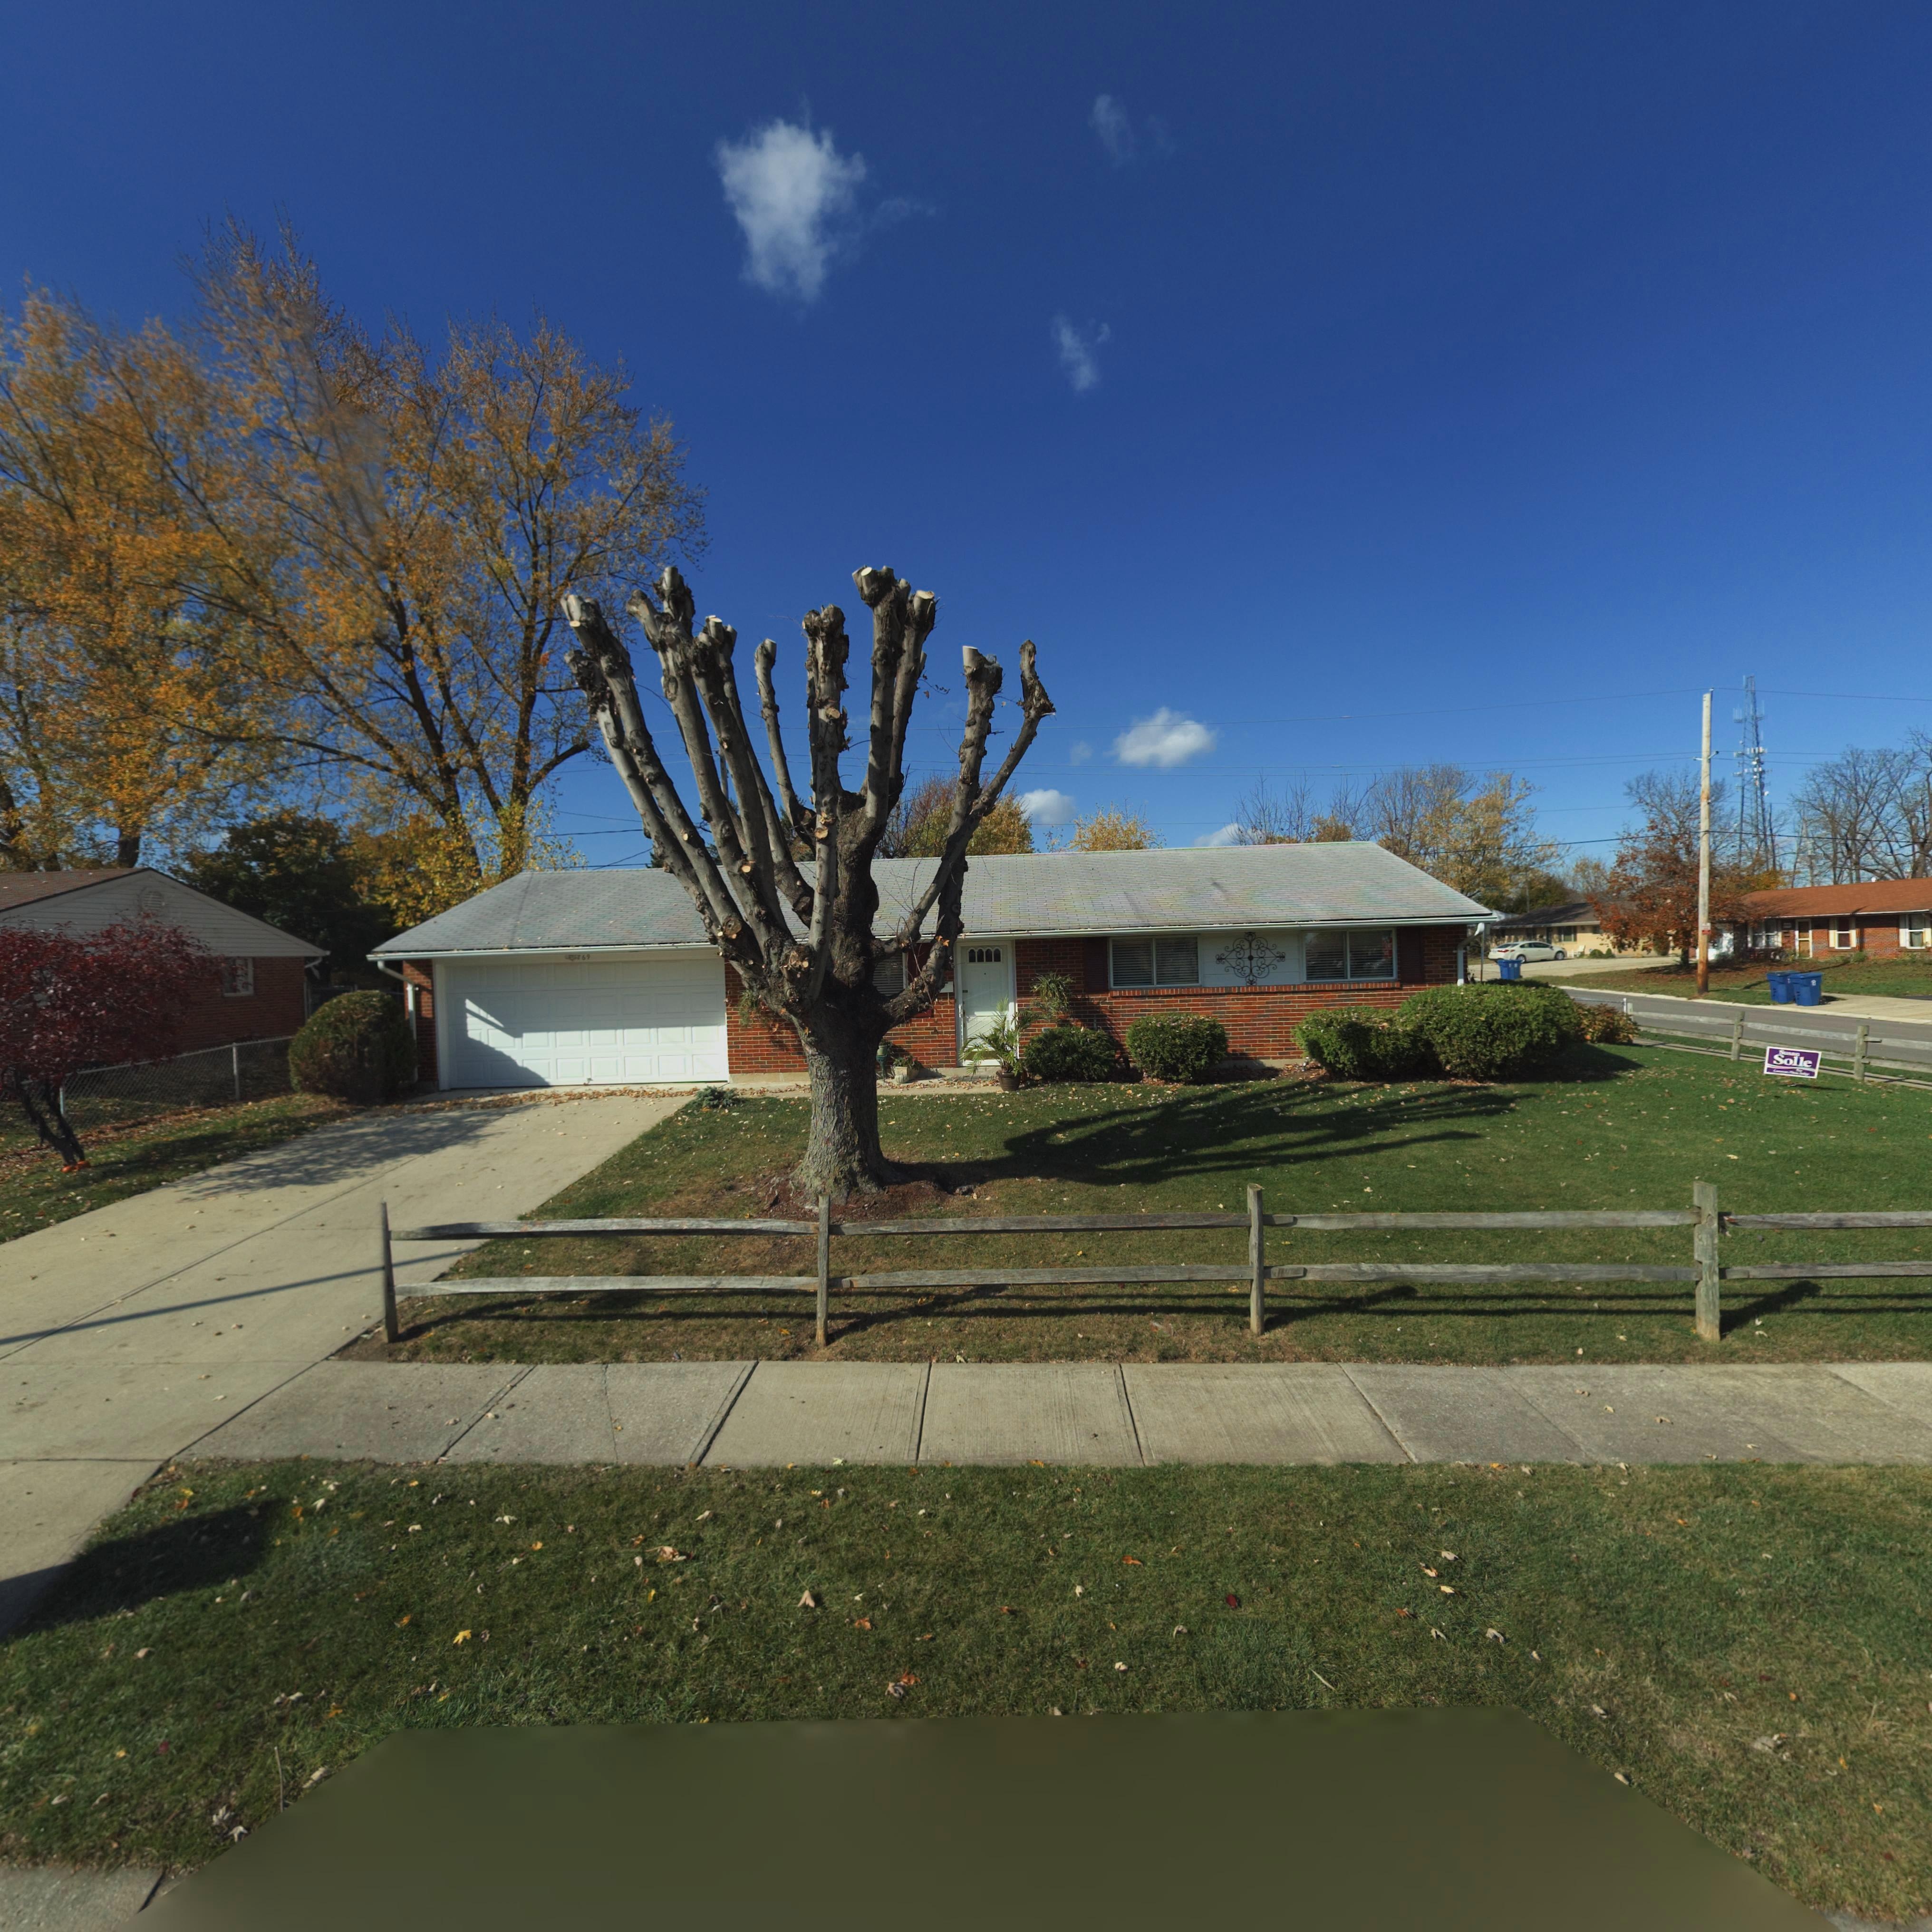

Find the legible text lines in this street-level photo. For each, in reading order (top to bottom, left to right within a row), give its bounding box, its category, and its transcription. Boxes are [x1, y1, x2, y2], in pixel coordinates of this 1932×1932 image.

[580, 952, 592, 962] StreetNumber: 69